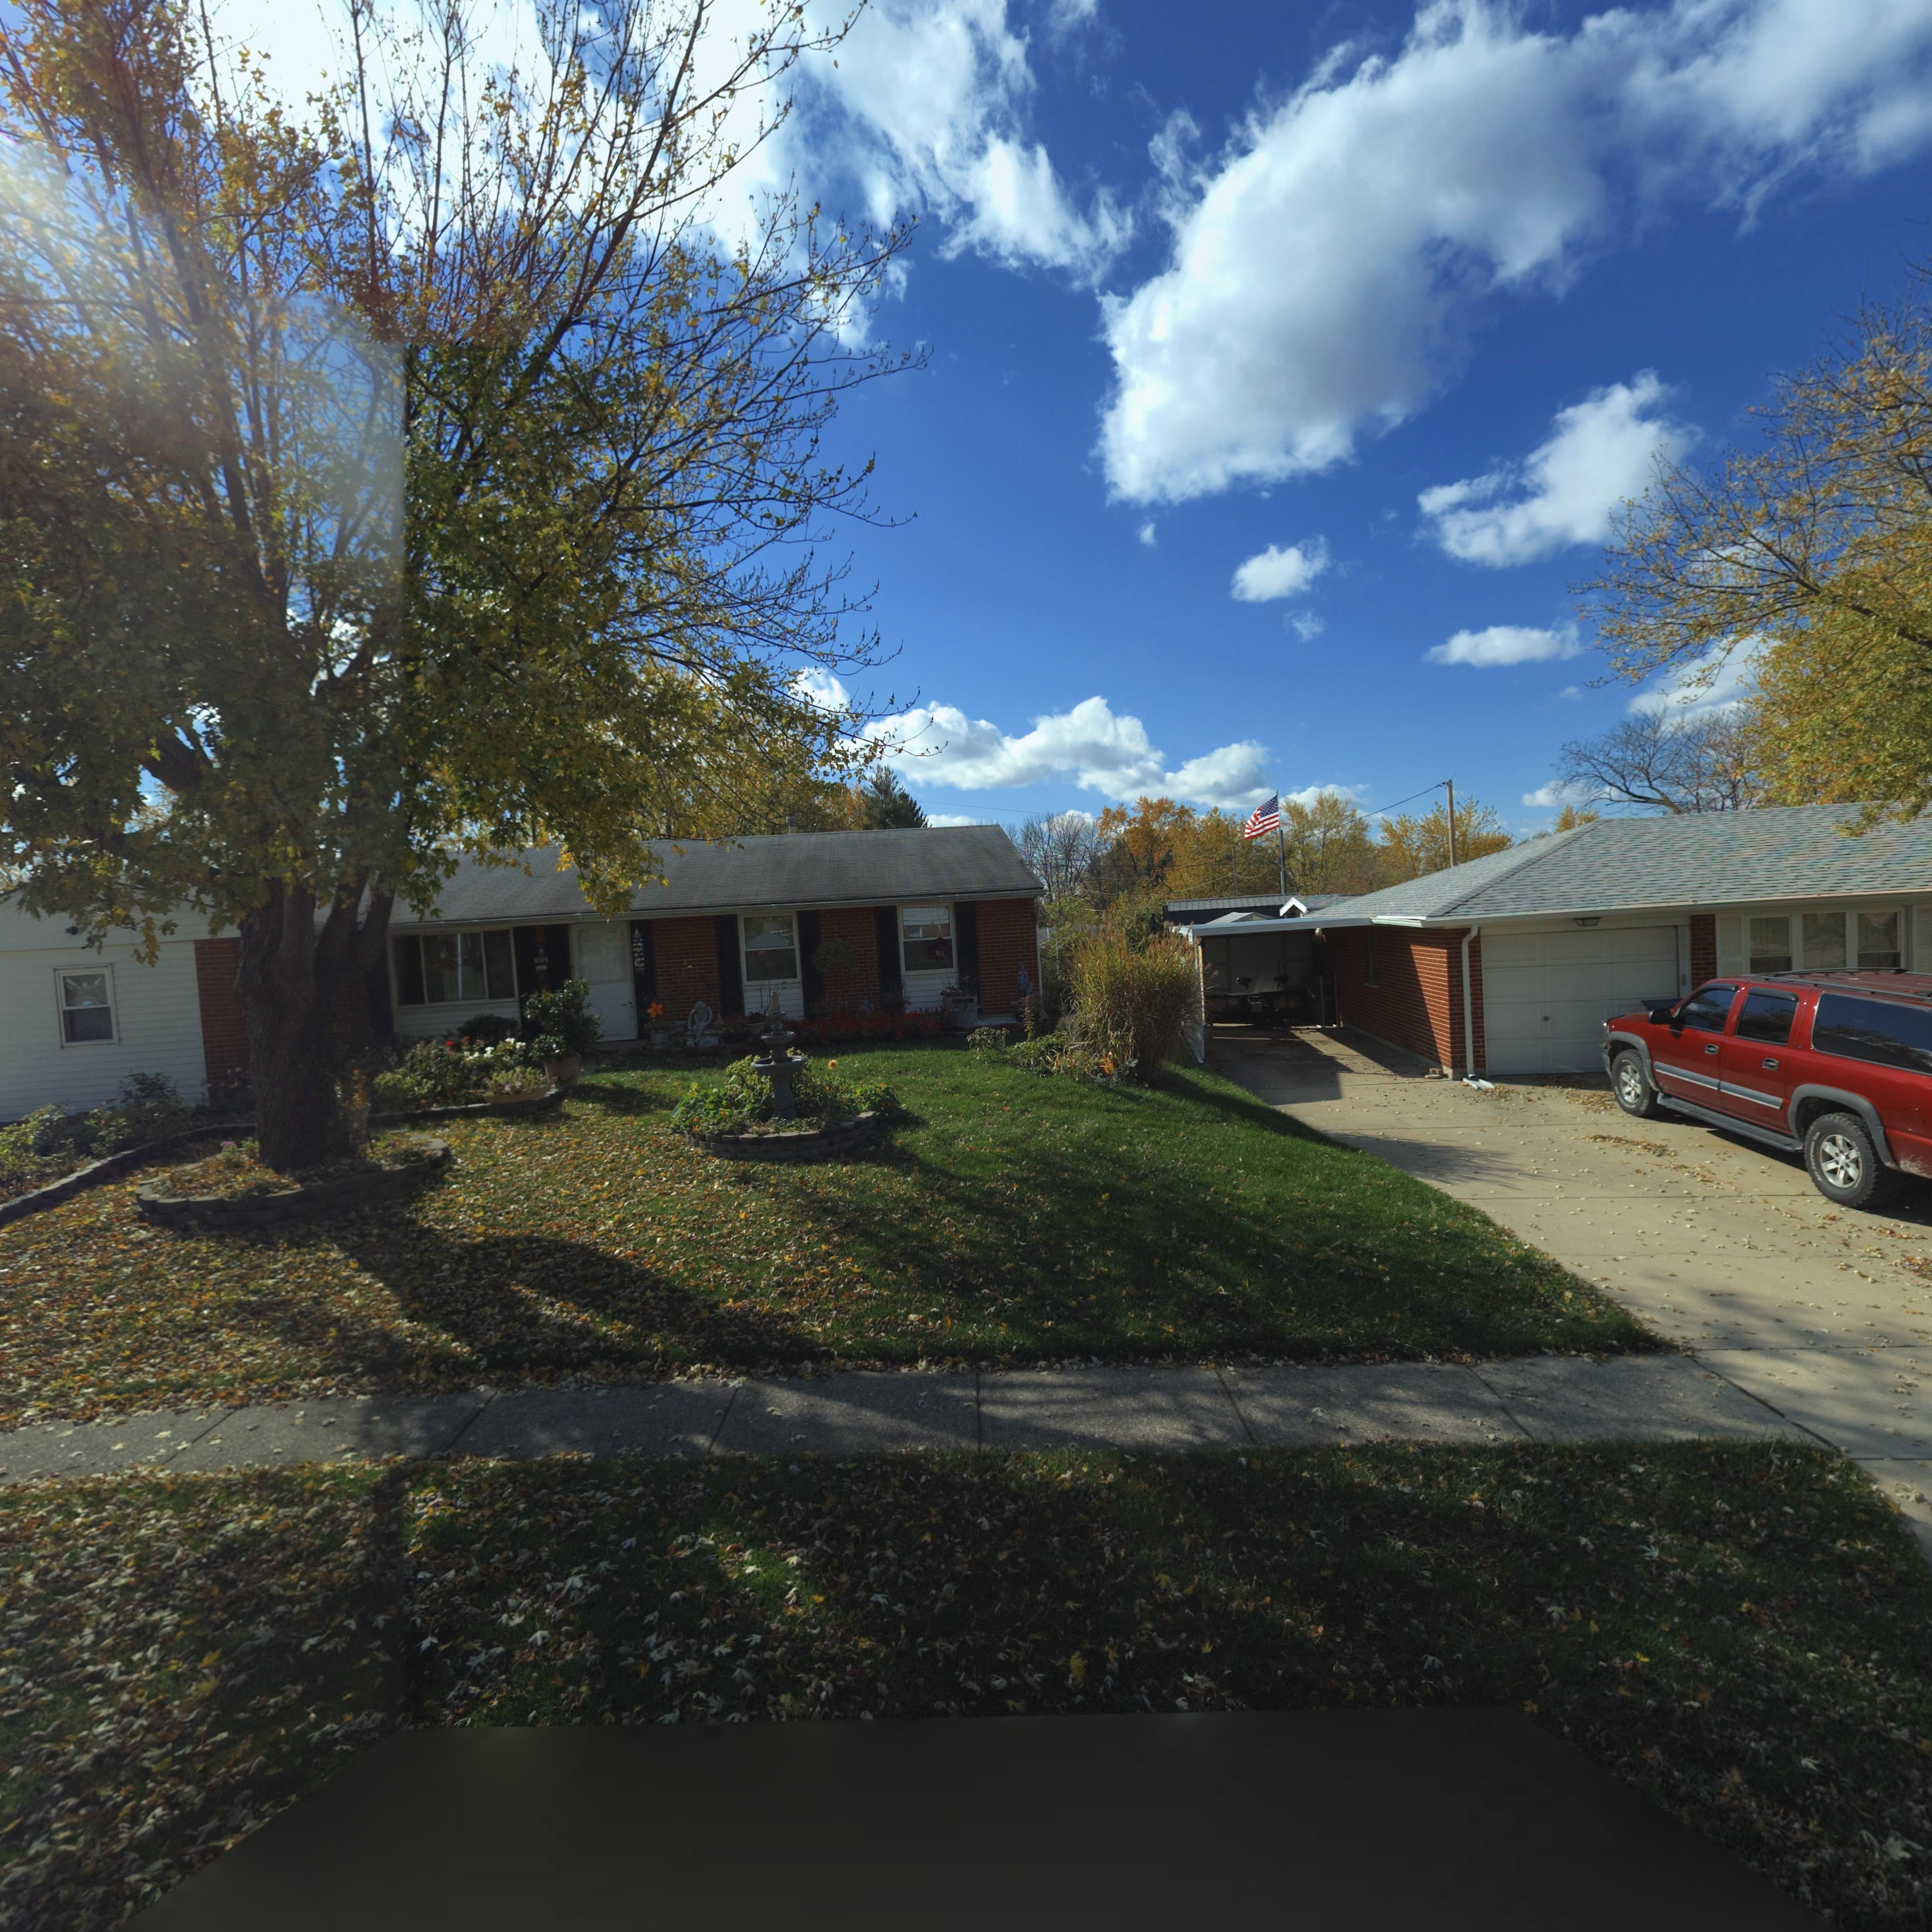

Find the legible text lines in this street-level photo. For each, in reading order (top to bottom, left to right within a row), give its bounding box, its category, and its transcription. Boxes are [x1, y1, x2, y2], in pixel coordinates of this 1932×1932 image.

[534, 956, 549, 964] StreetNumber: 65*8